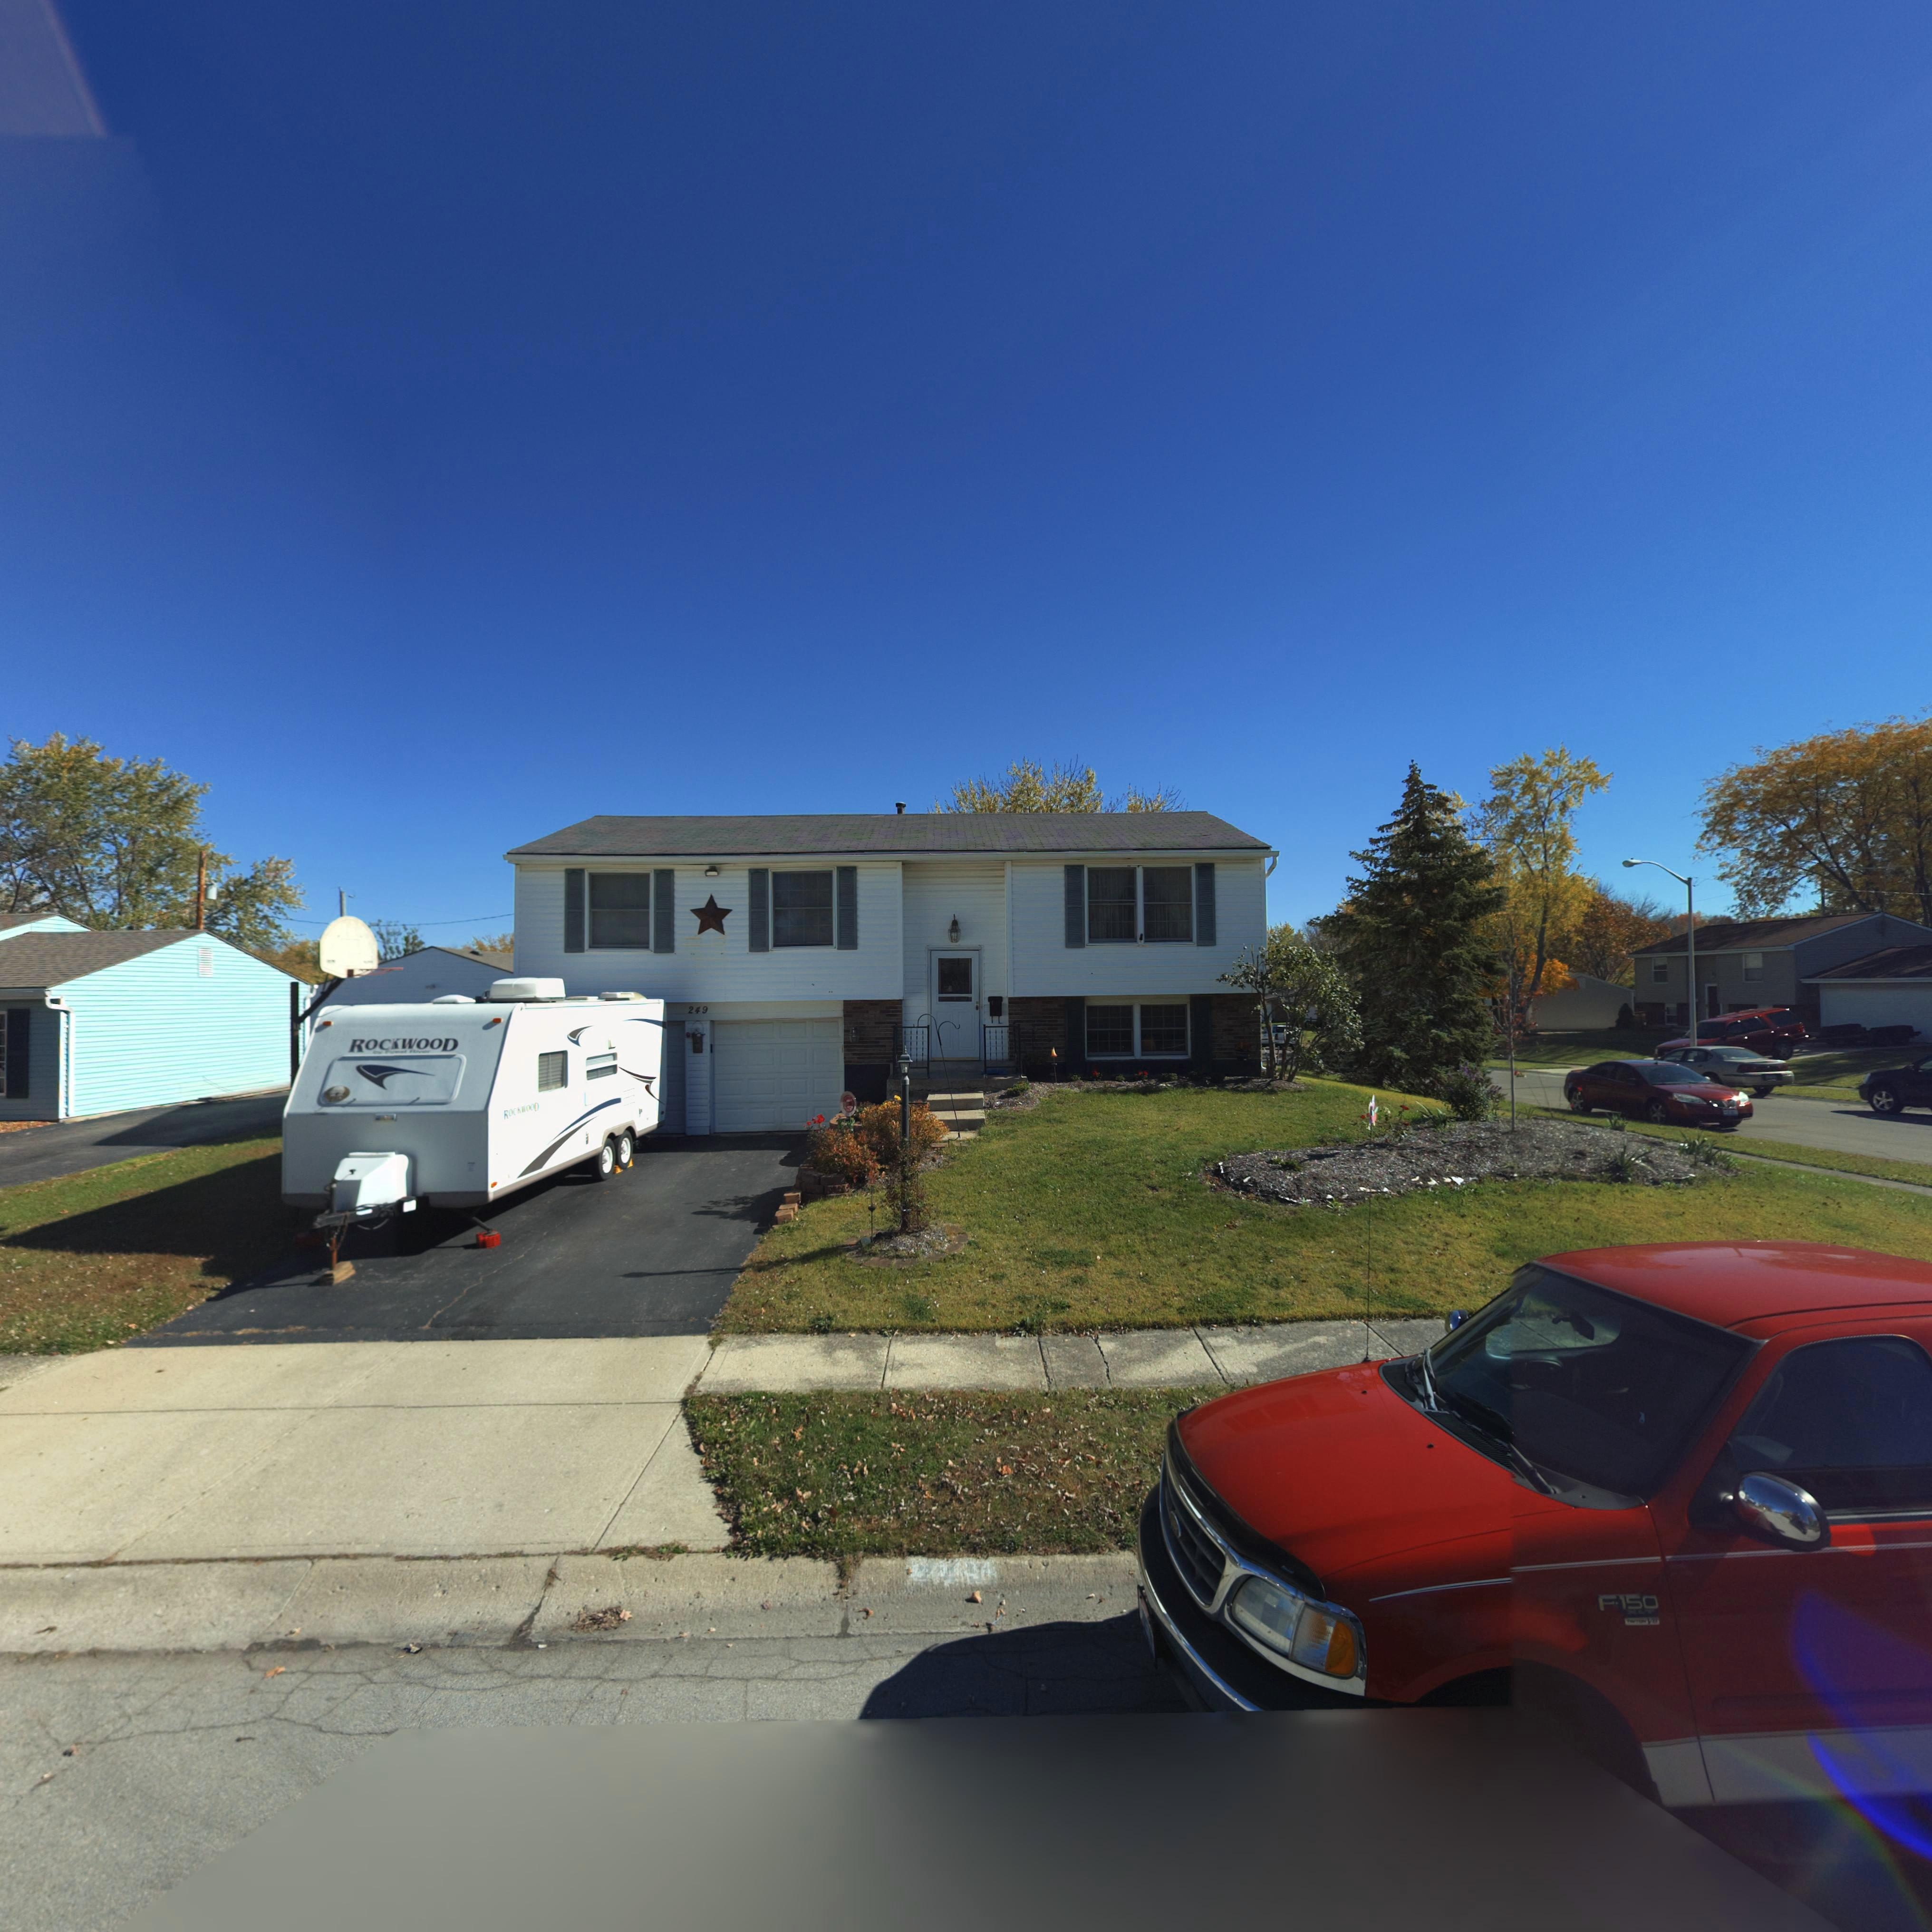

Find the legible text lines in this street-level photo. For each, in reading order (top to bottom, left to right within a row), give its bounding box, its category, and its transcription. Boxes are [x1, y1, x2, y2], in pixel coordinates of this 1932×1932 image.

[687, 1005, 709, 1014] StreetNumber: 249